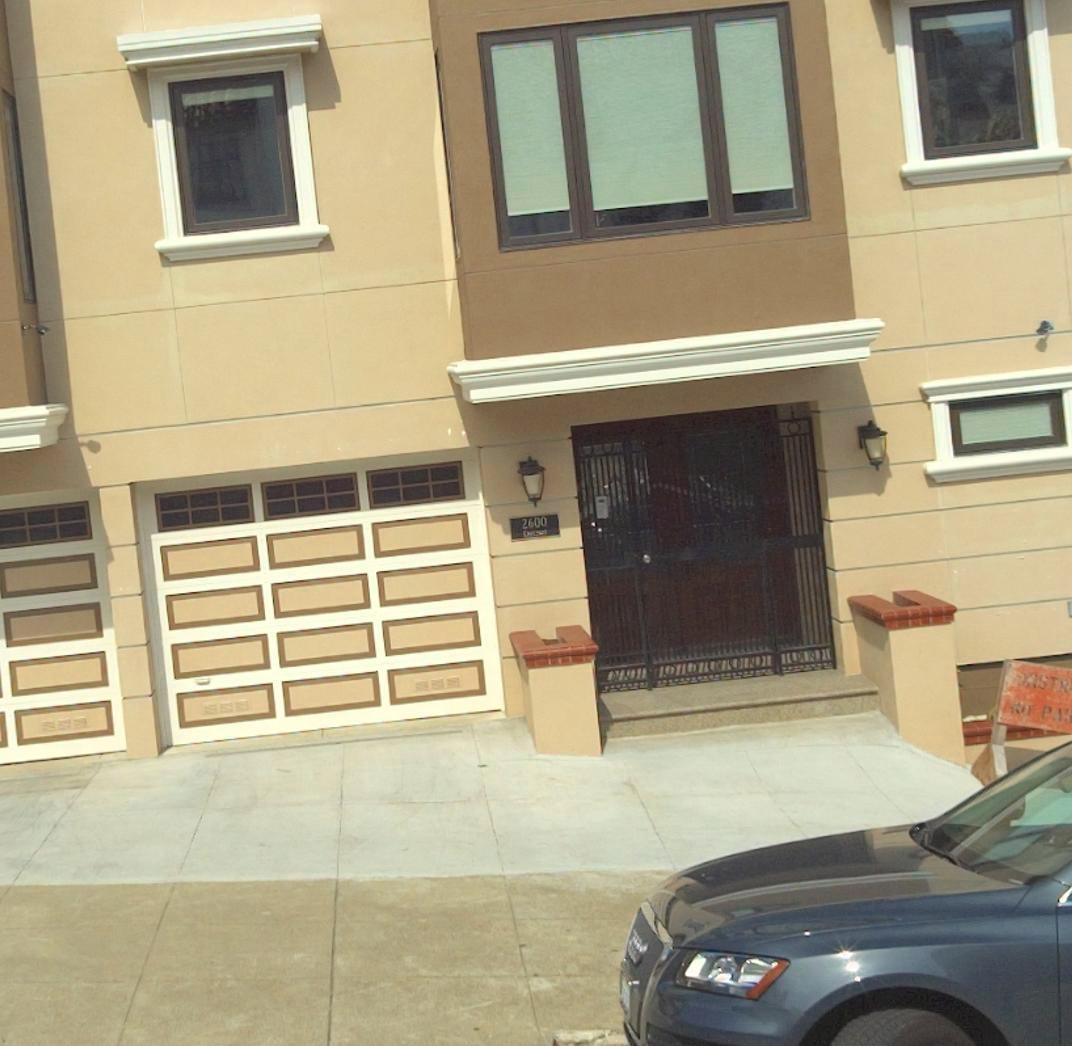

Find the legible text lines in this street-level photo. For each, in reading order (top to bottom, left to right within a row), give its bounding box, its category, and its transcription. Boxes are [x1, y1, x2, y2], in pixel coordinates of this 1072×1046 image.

[519, 513, 550, 532] StreetNumber: 2600